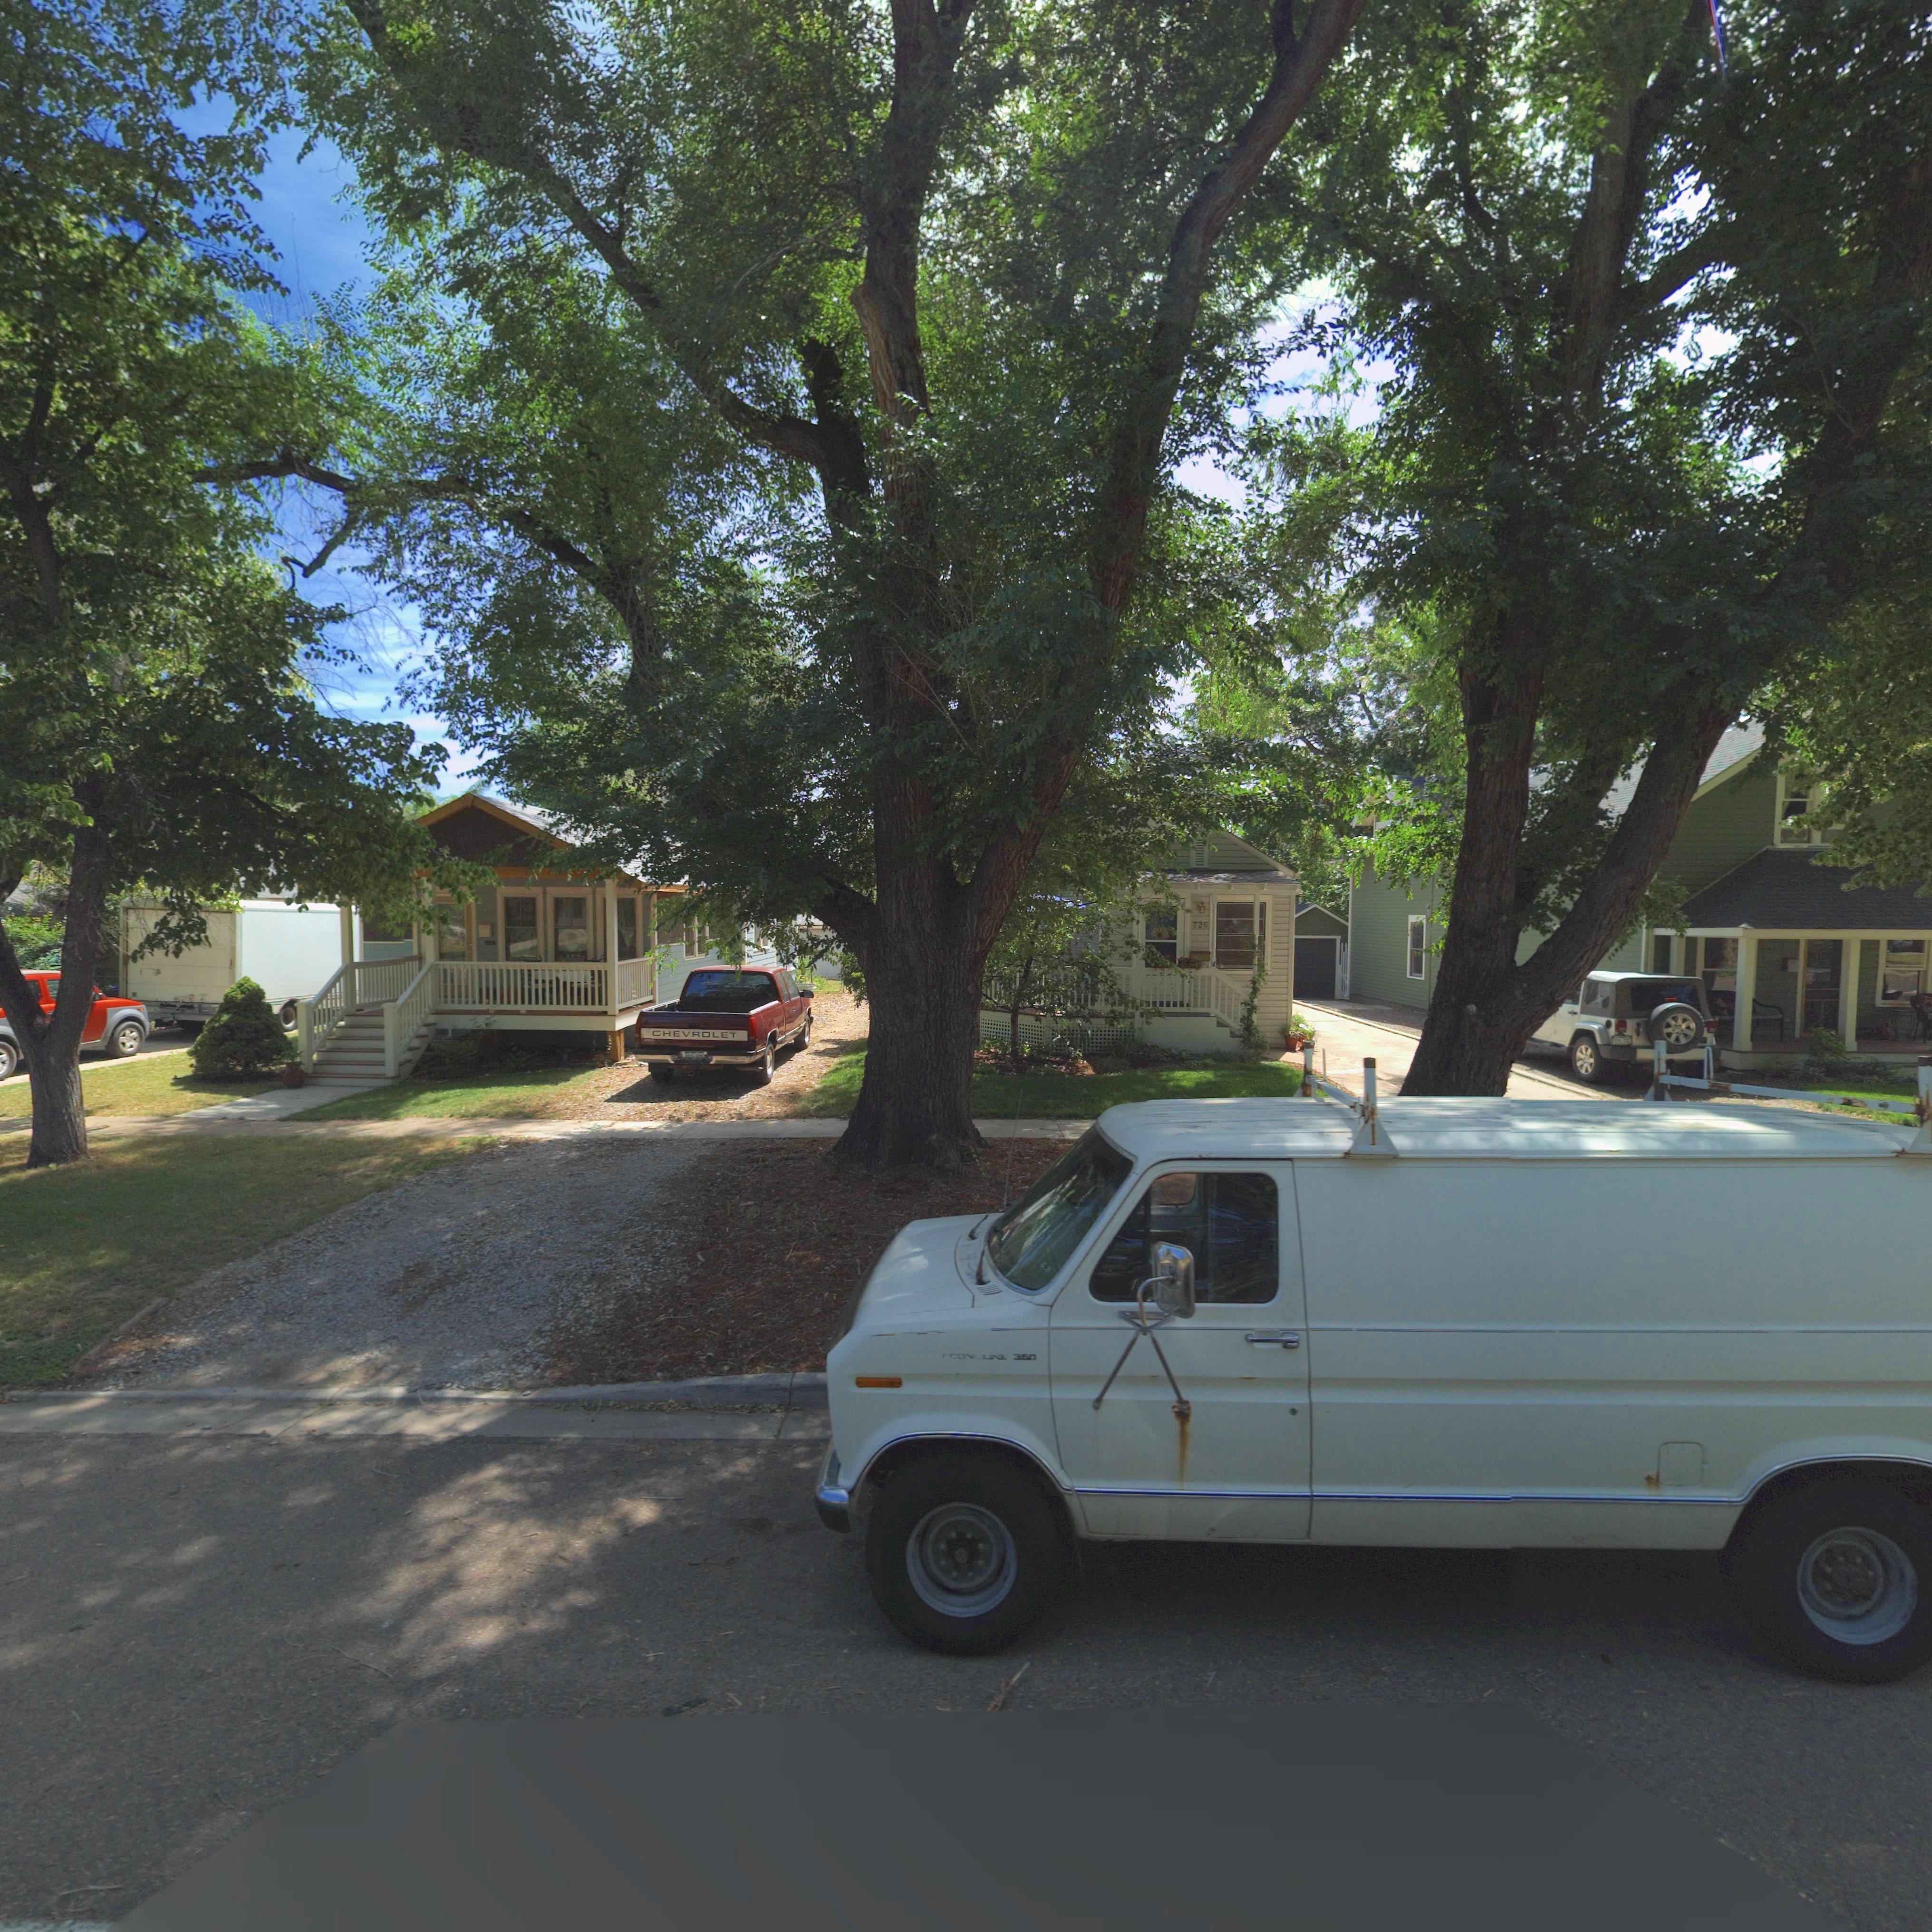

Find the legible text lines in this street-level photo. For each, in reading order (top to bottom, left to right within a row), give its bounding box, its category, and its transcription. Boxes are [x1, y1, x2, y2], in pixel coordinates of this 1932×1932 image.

[1192, 921, 1208, 928] StreetNumber: 726